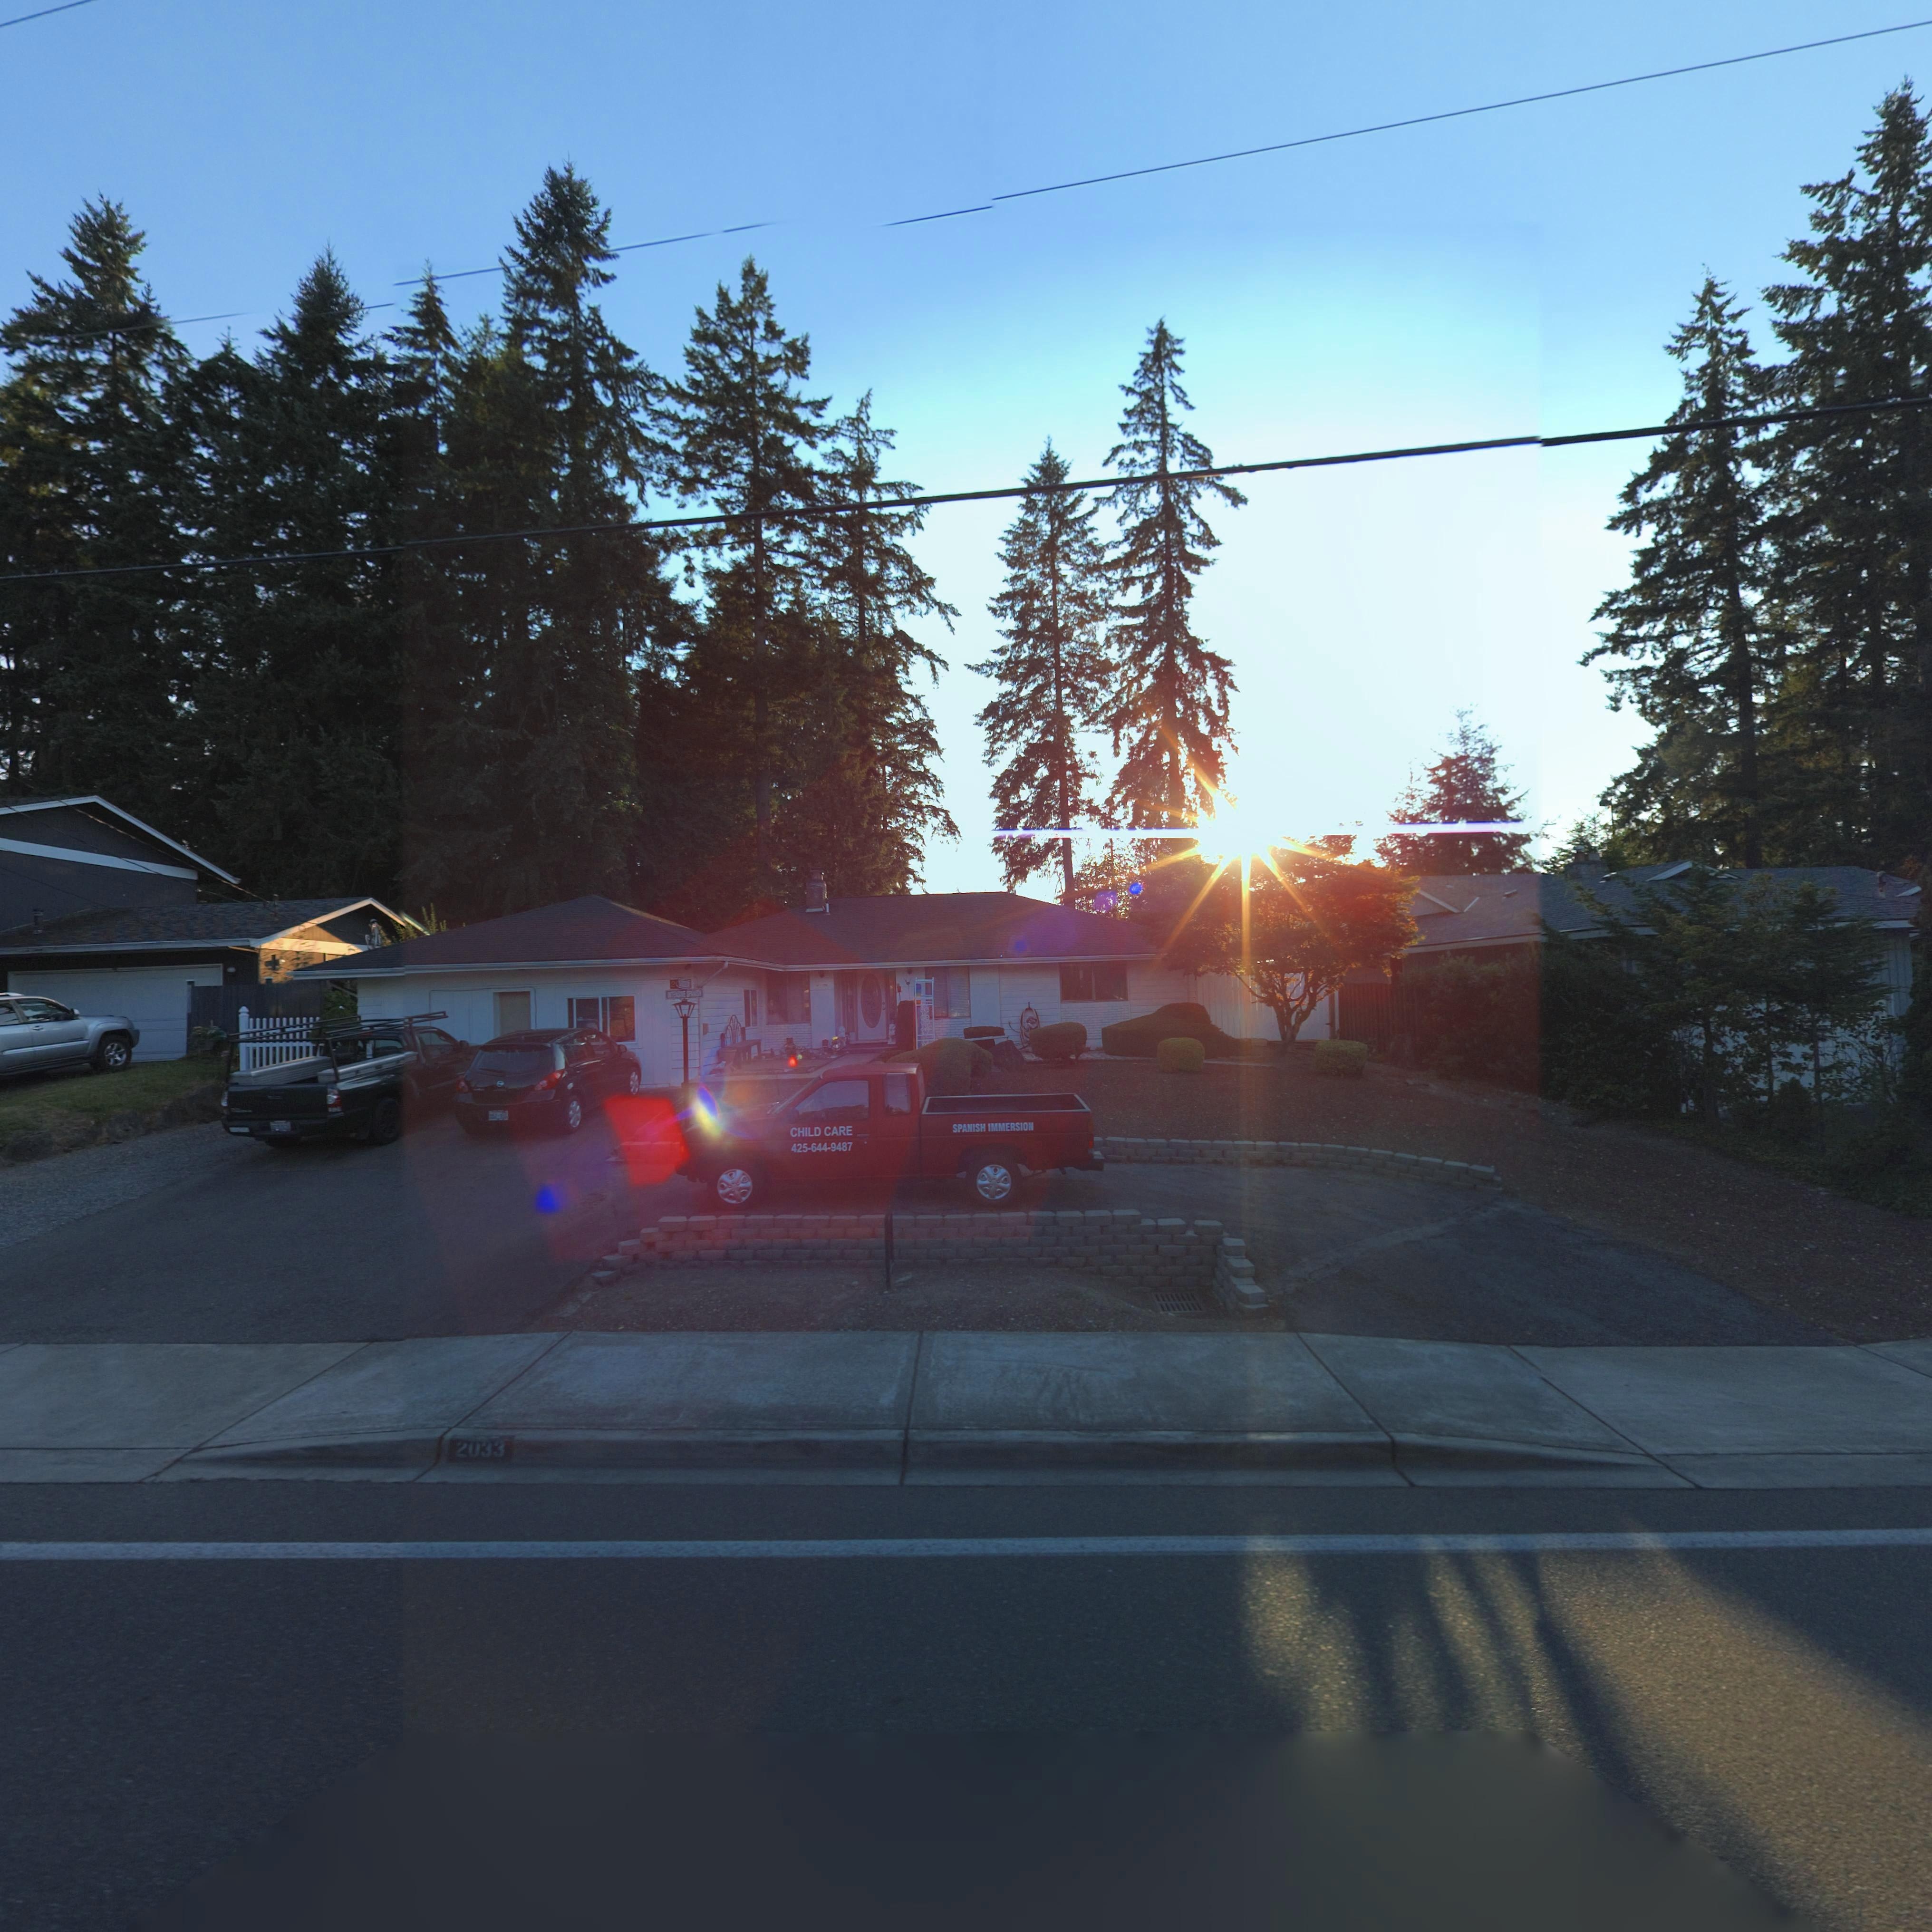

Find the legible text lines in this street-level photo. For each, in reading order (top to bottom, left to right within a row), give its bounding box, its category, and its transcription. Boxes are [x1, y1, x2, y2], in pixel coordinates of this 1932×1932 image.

[456, 1441, 505, 1457] StreetNumber: 2033